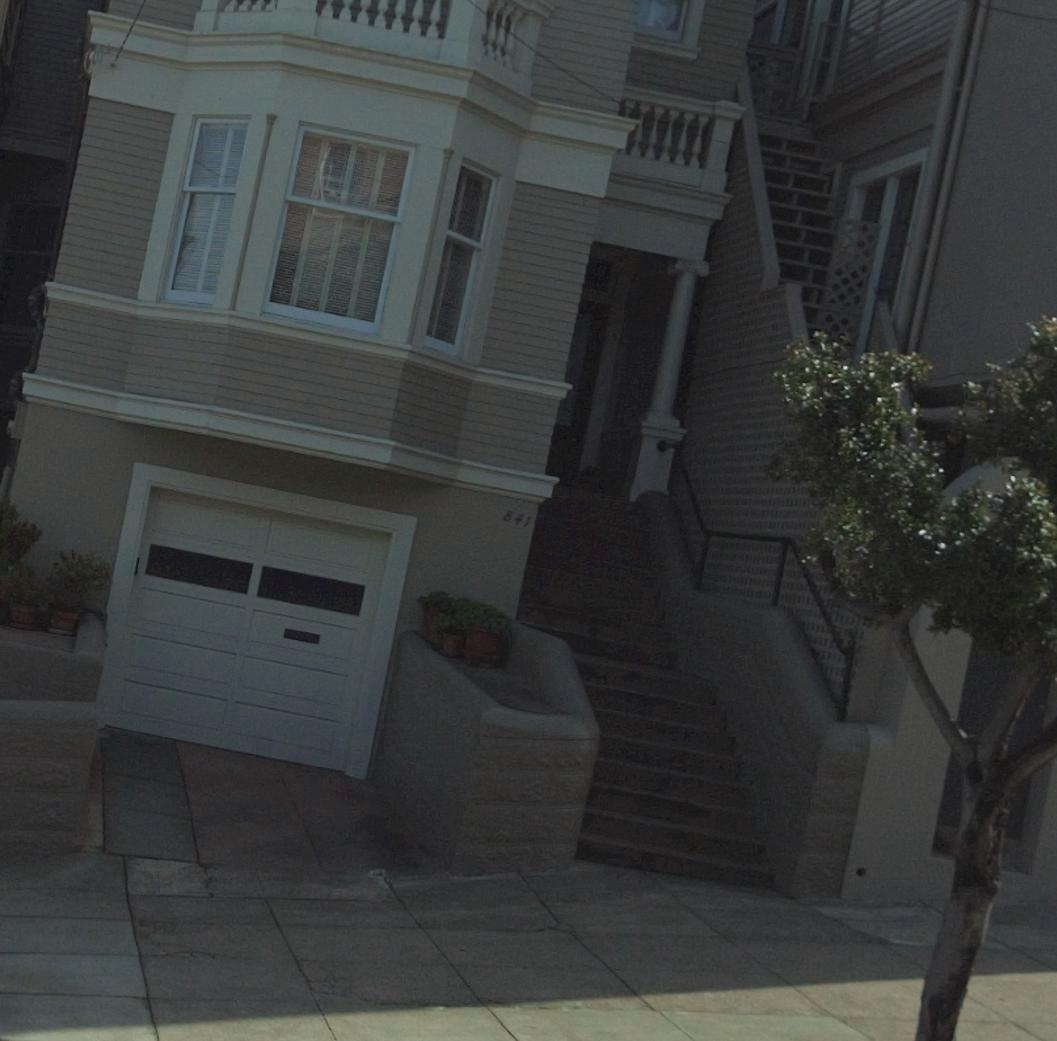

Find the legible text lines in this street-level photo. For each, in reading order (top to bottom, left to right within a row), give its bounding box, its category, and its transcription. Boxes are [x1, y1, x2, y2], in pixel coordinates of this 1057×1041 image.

[499, 506, 535, 530] StreetNumber: 841